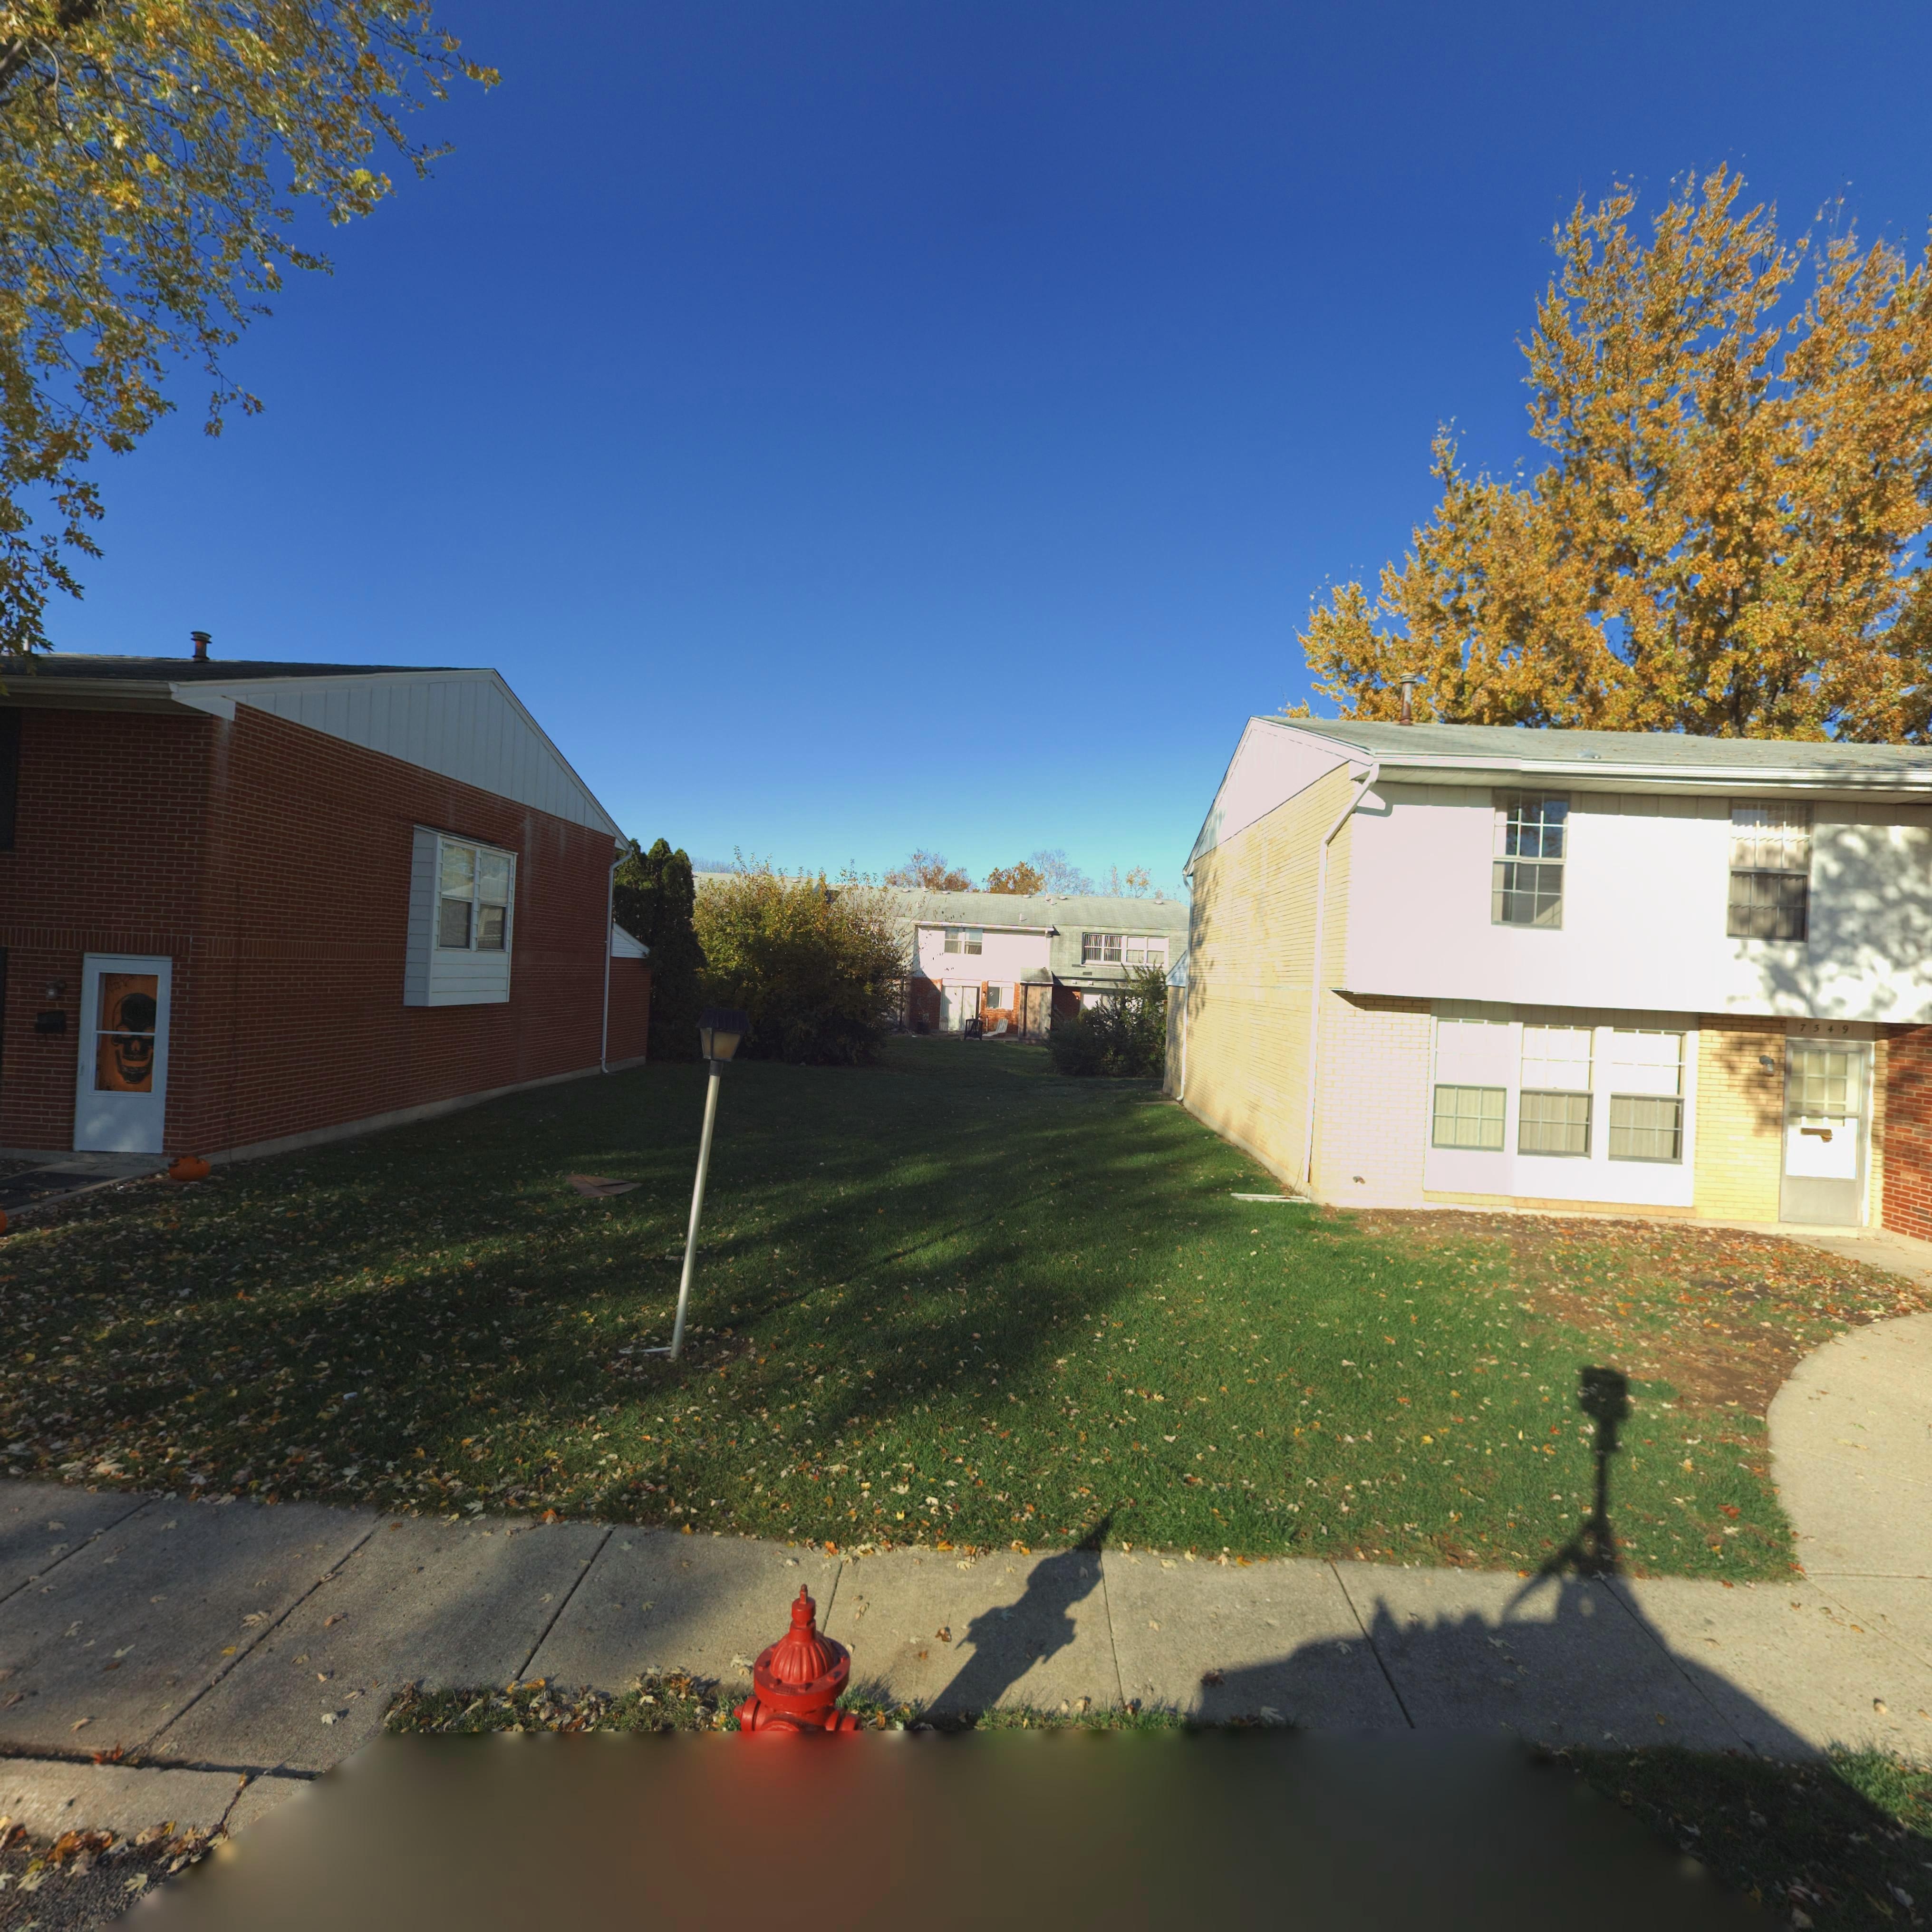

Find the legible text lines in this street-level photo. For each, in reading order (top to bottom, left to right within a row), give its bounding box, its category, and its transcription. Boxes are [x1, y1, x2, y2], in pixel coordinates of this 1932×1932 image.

[1799, 1023, 1849, 1035] StreetNumber: 7549